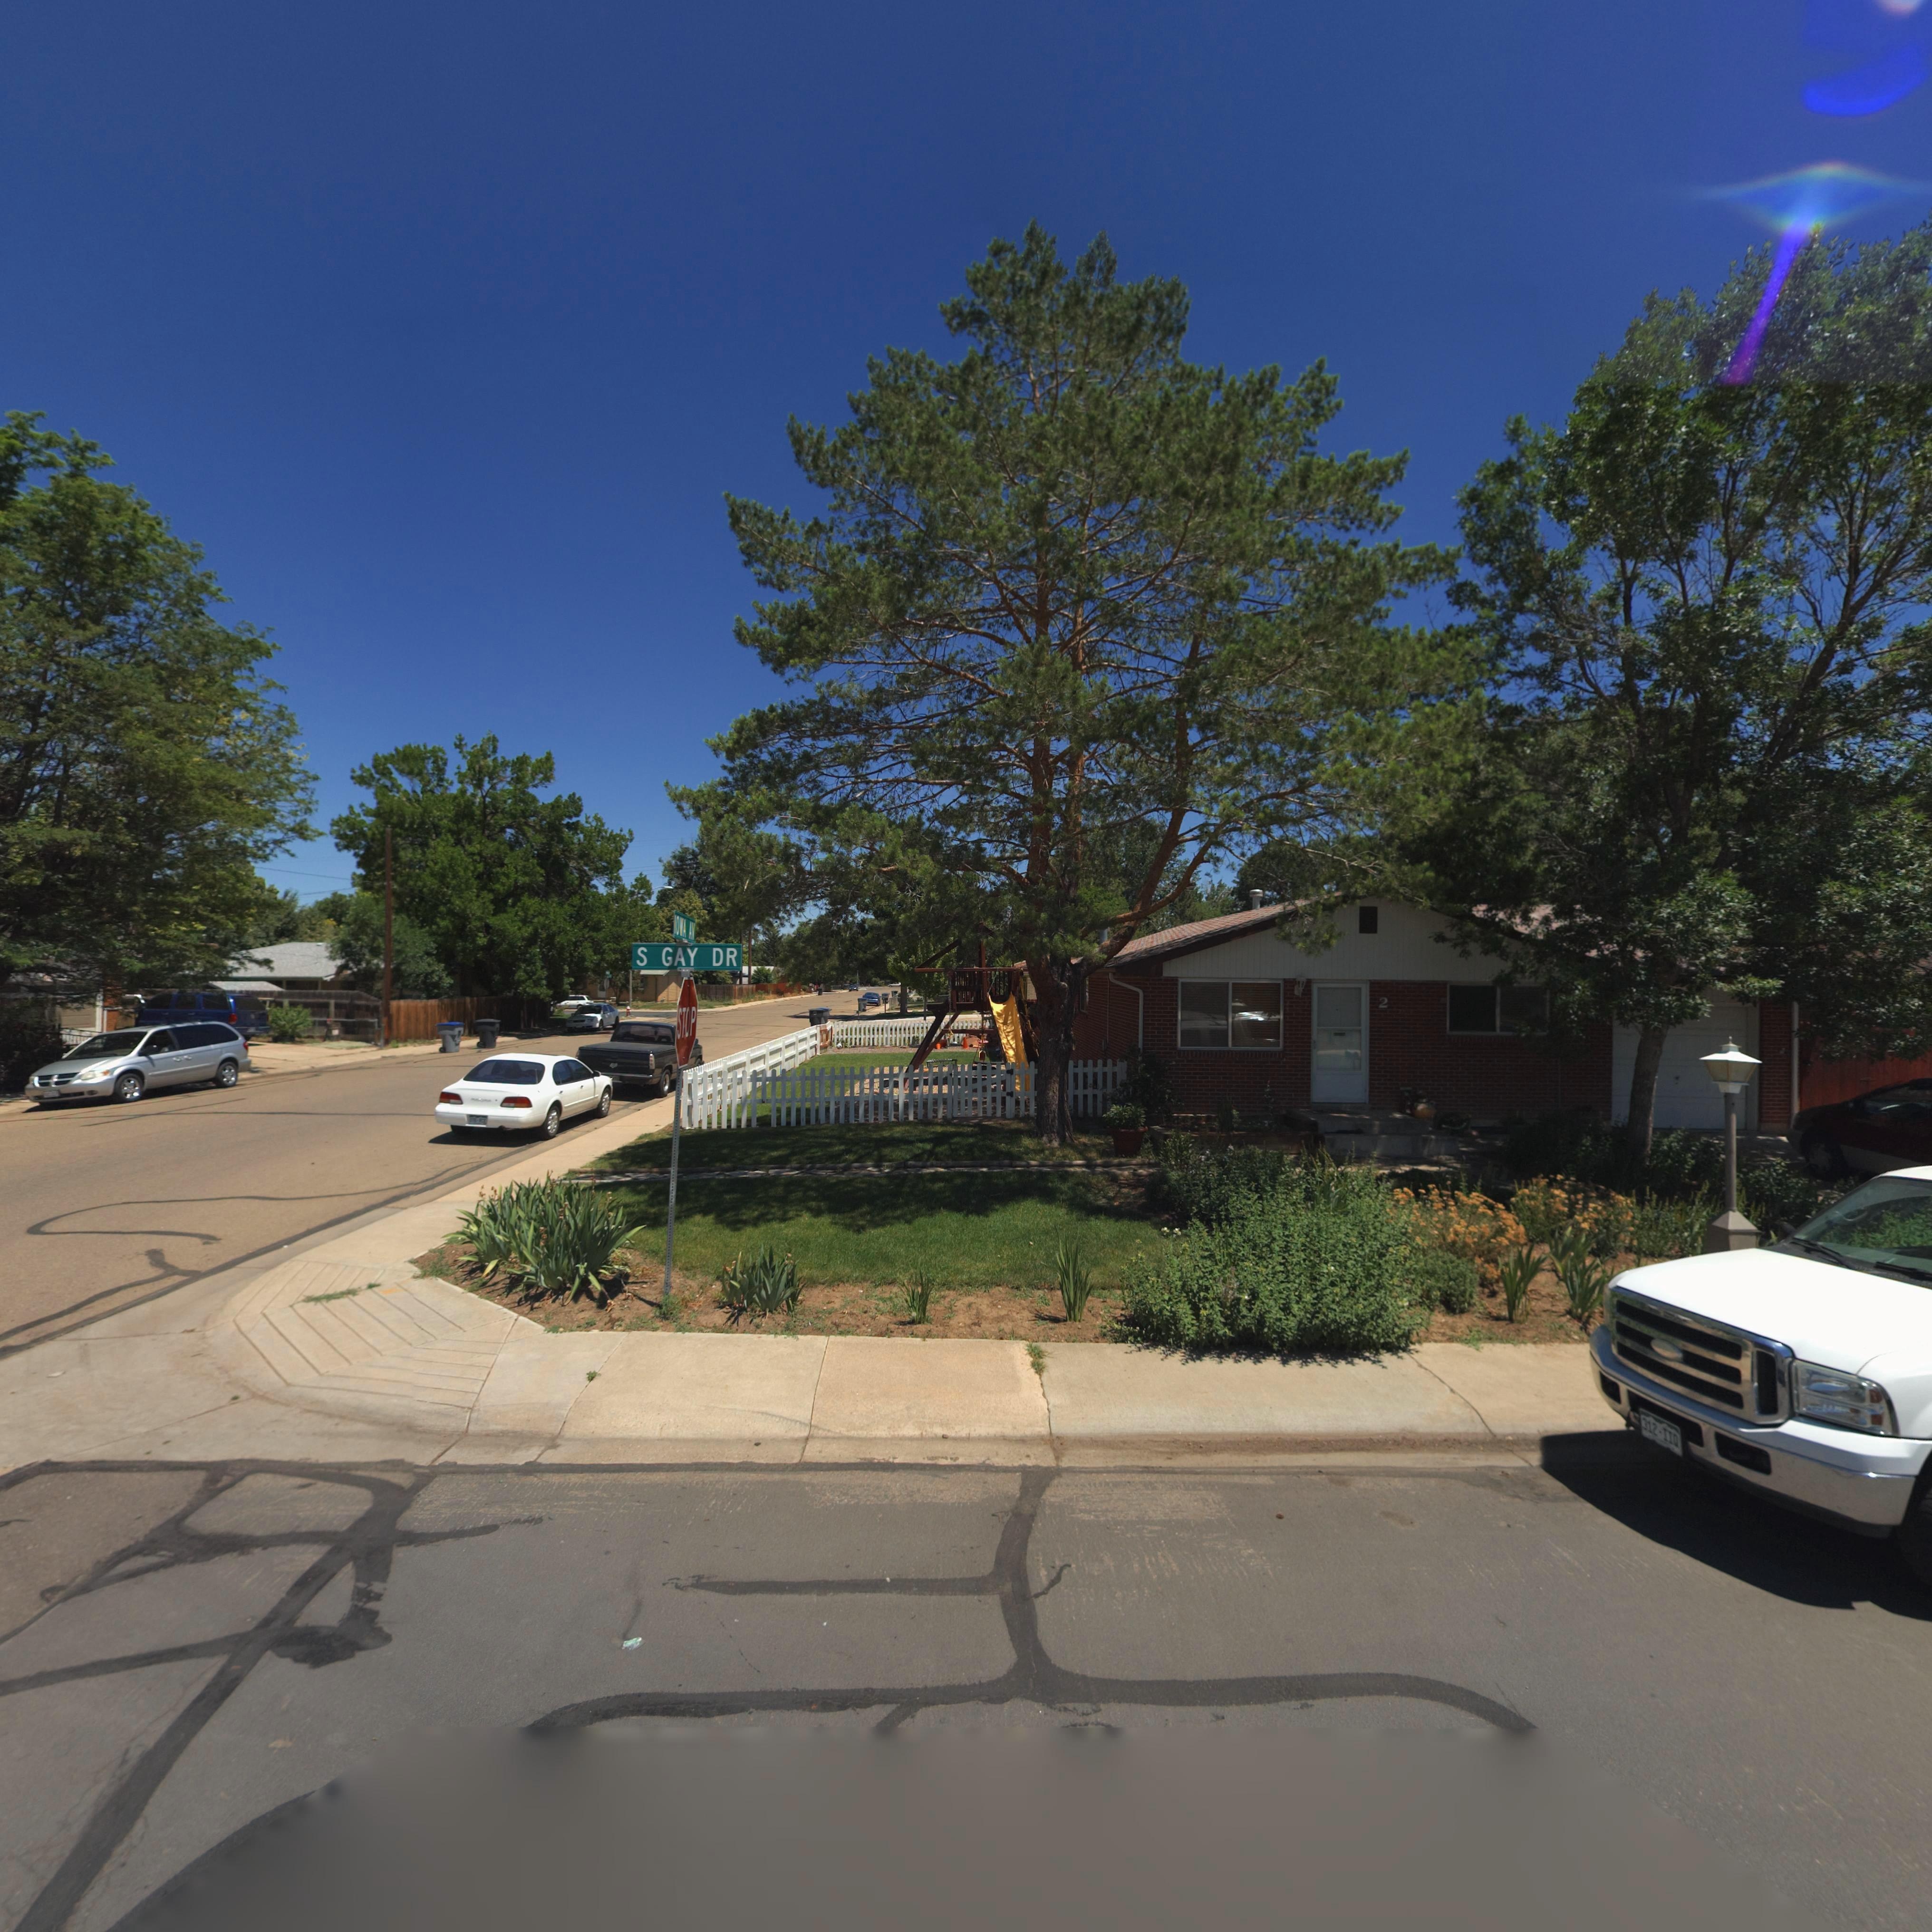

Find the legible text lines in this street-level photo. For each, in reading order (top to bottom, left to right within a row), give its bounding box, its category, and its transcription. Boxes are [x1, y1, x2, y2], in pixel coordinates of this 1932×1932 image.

[674, 914, 696, 941] StreetName: IOWA AV
[635, 946, 737, 967] StreetName: S GAY DR
[1378, 996, 1388, 1009] StreetNumber: 2